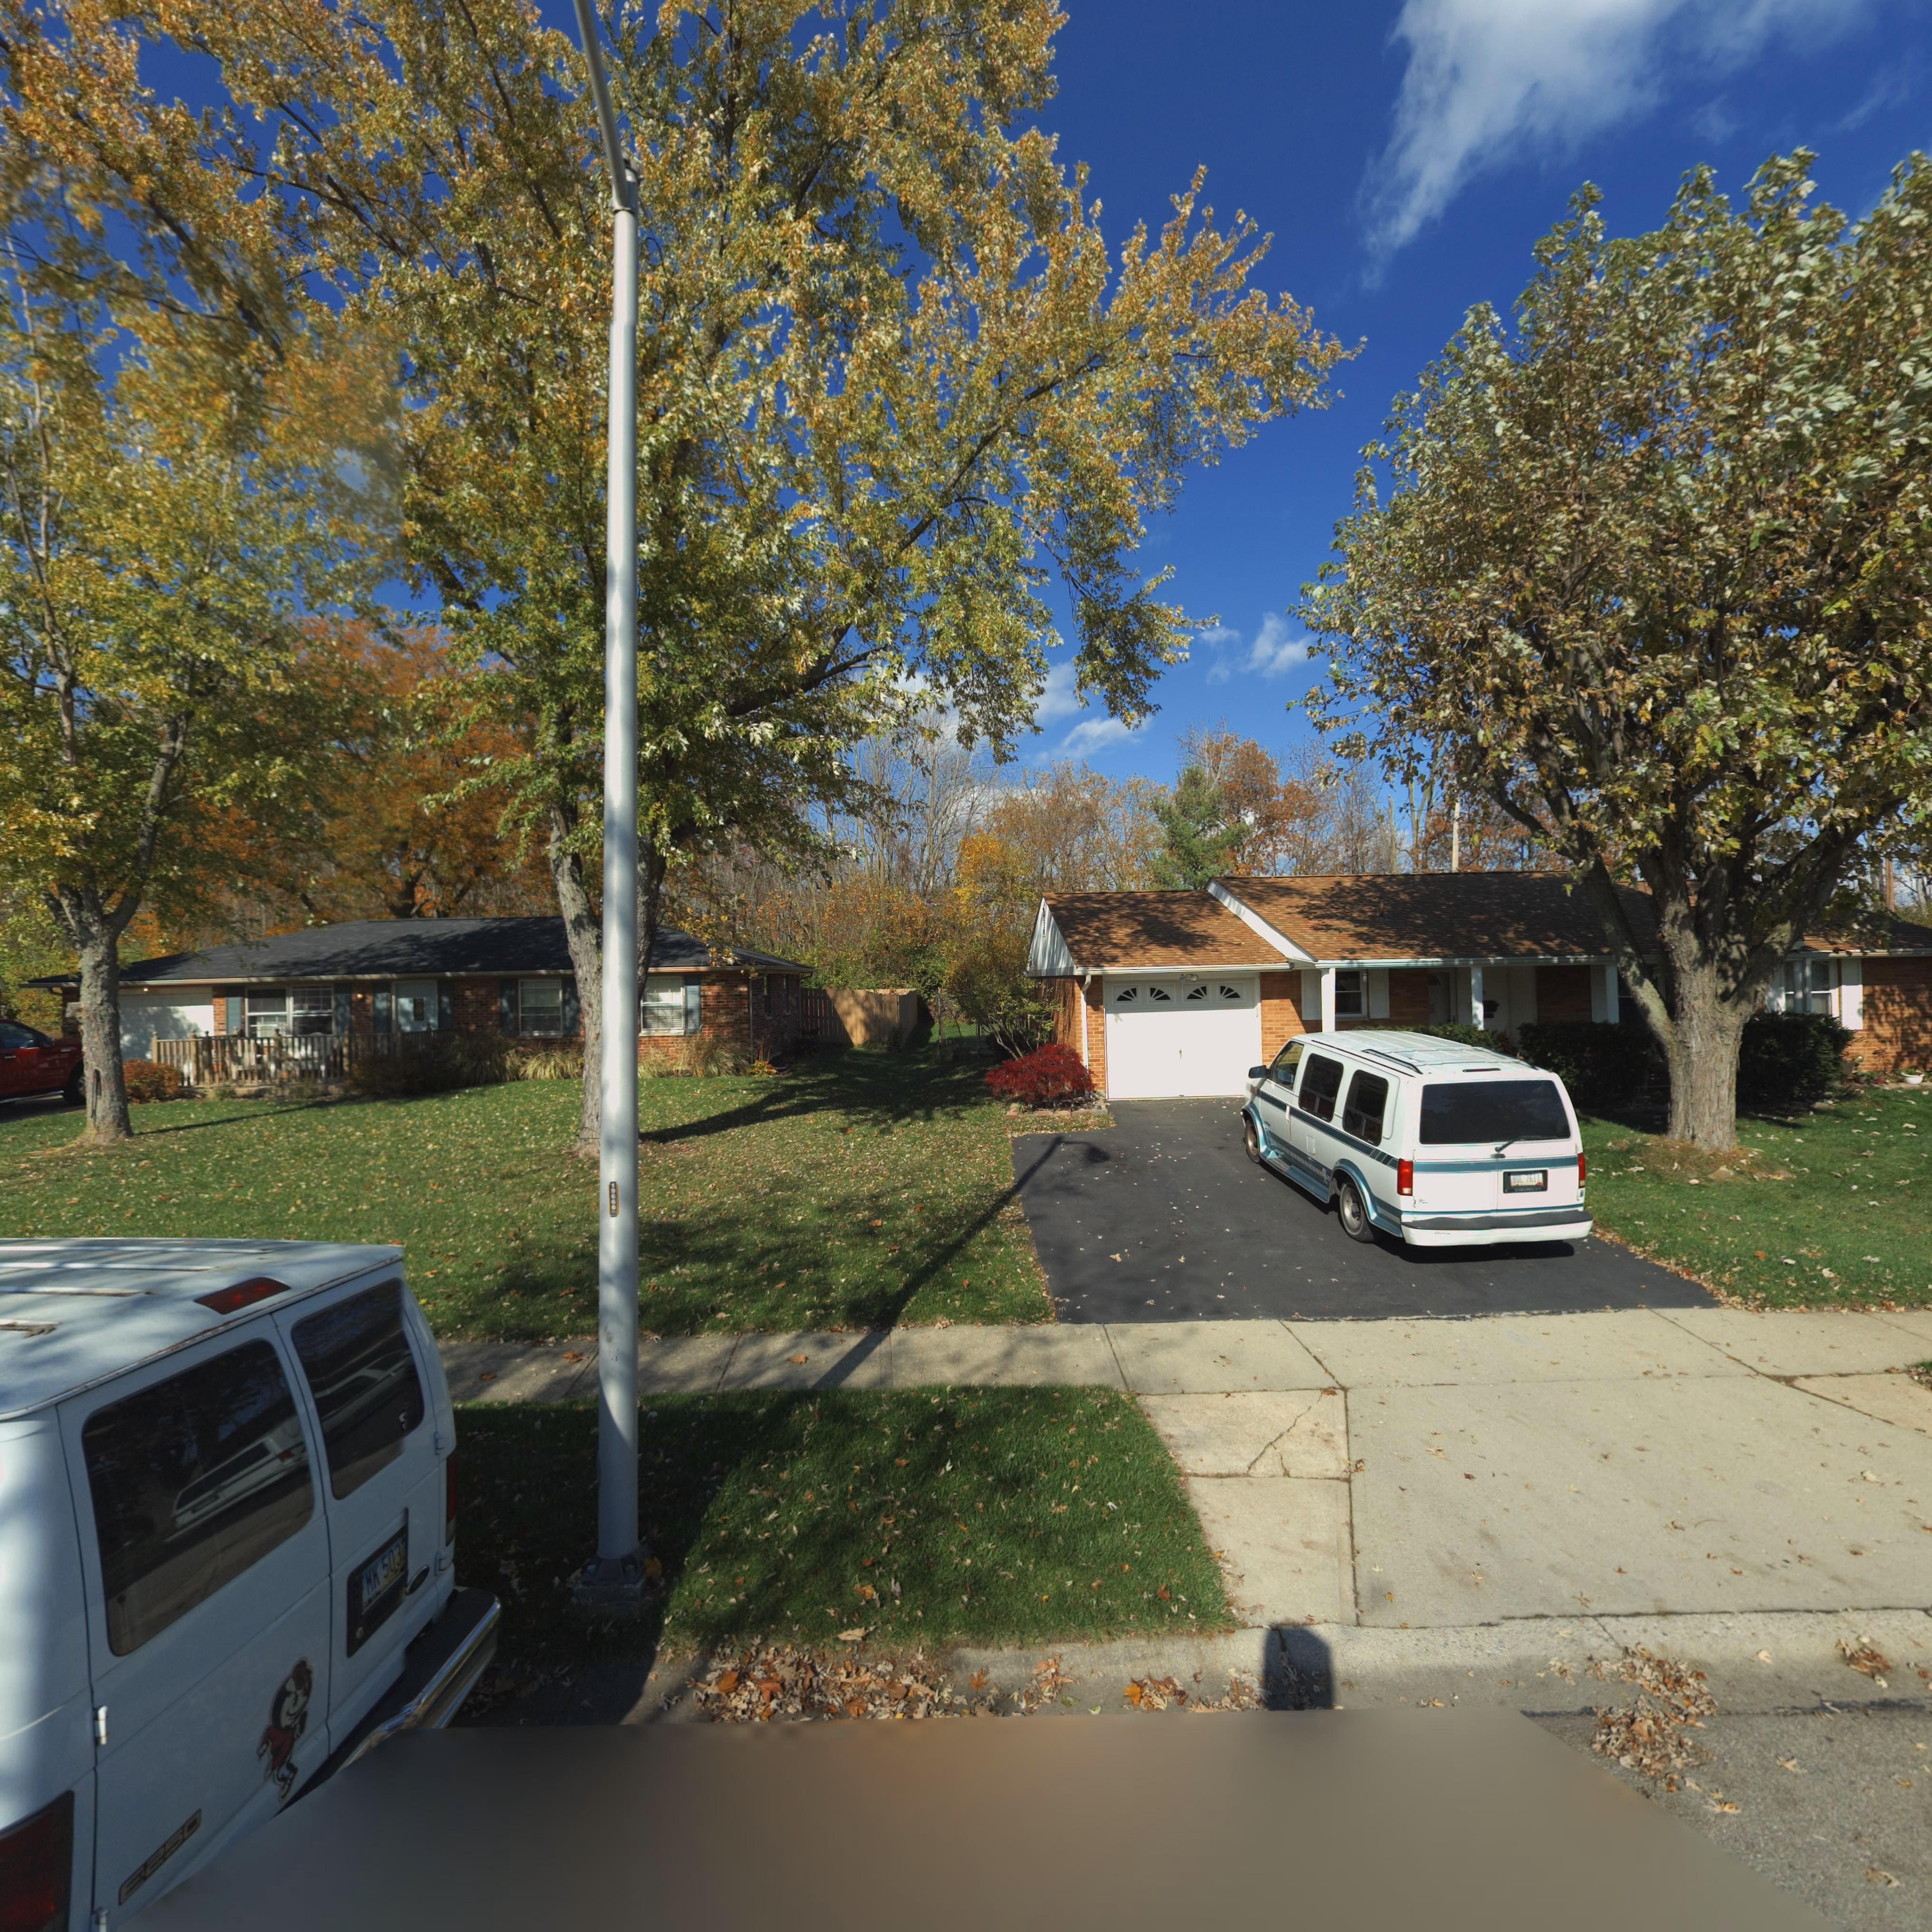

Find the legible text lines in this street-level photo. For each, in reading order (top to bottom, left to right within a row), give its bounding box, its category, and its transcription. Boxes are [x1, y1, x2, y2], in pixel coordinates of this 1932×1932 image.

[1482, 990, 1486, 995] StreetNumber: 5